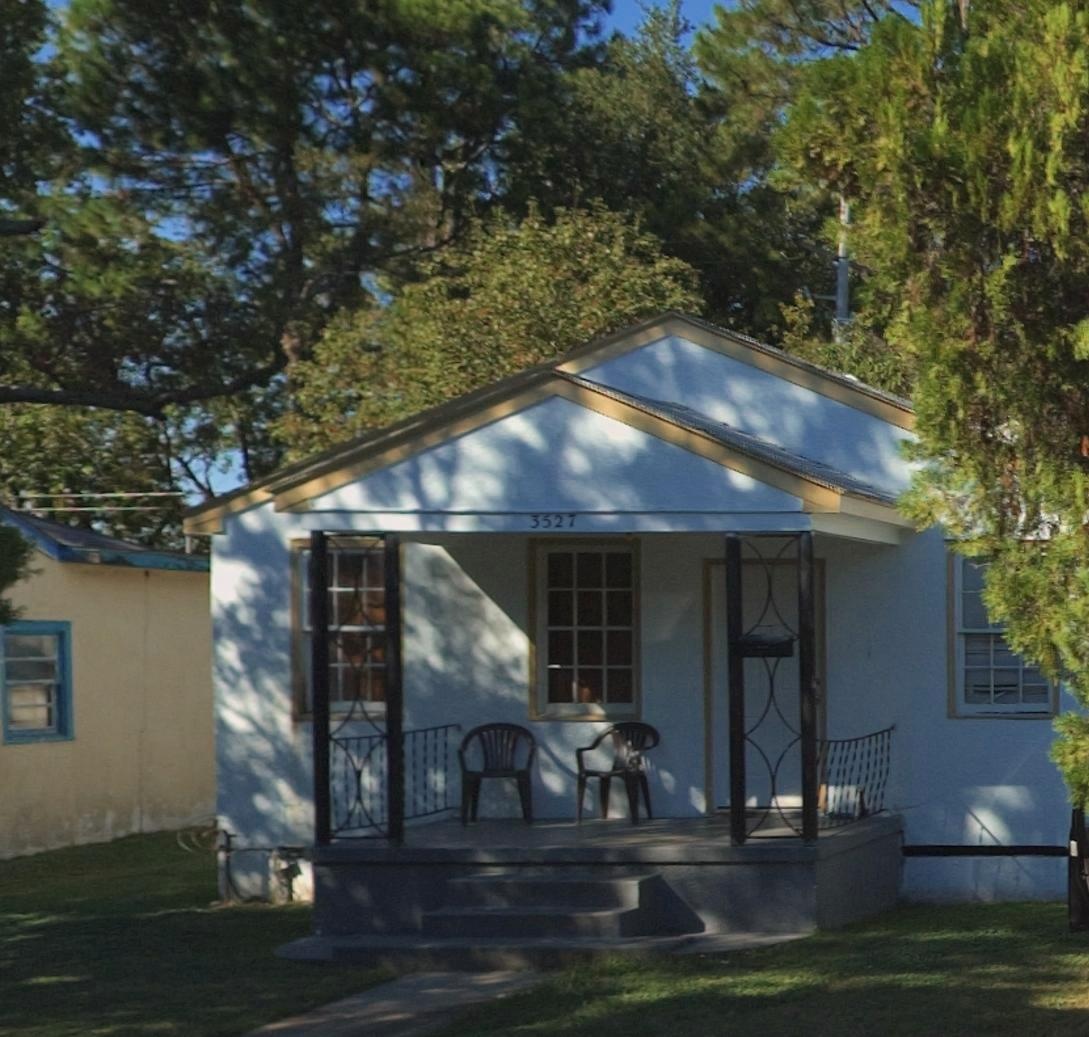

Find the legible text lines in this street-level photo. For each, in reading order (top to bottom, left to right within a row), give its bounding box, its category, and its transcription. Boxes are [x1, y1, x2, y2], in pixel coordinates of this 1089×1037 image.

[528, 513, 578, 530] StreetNumber: 3527